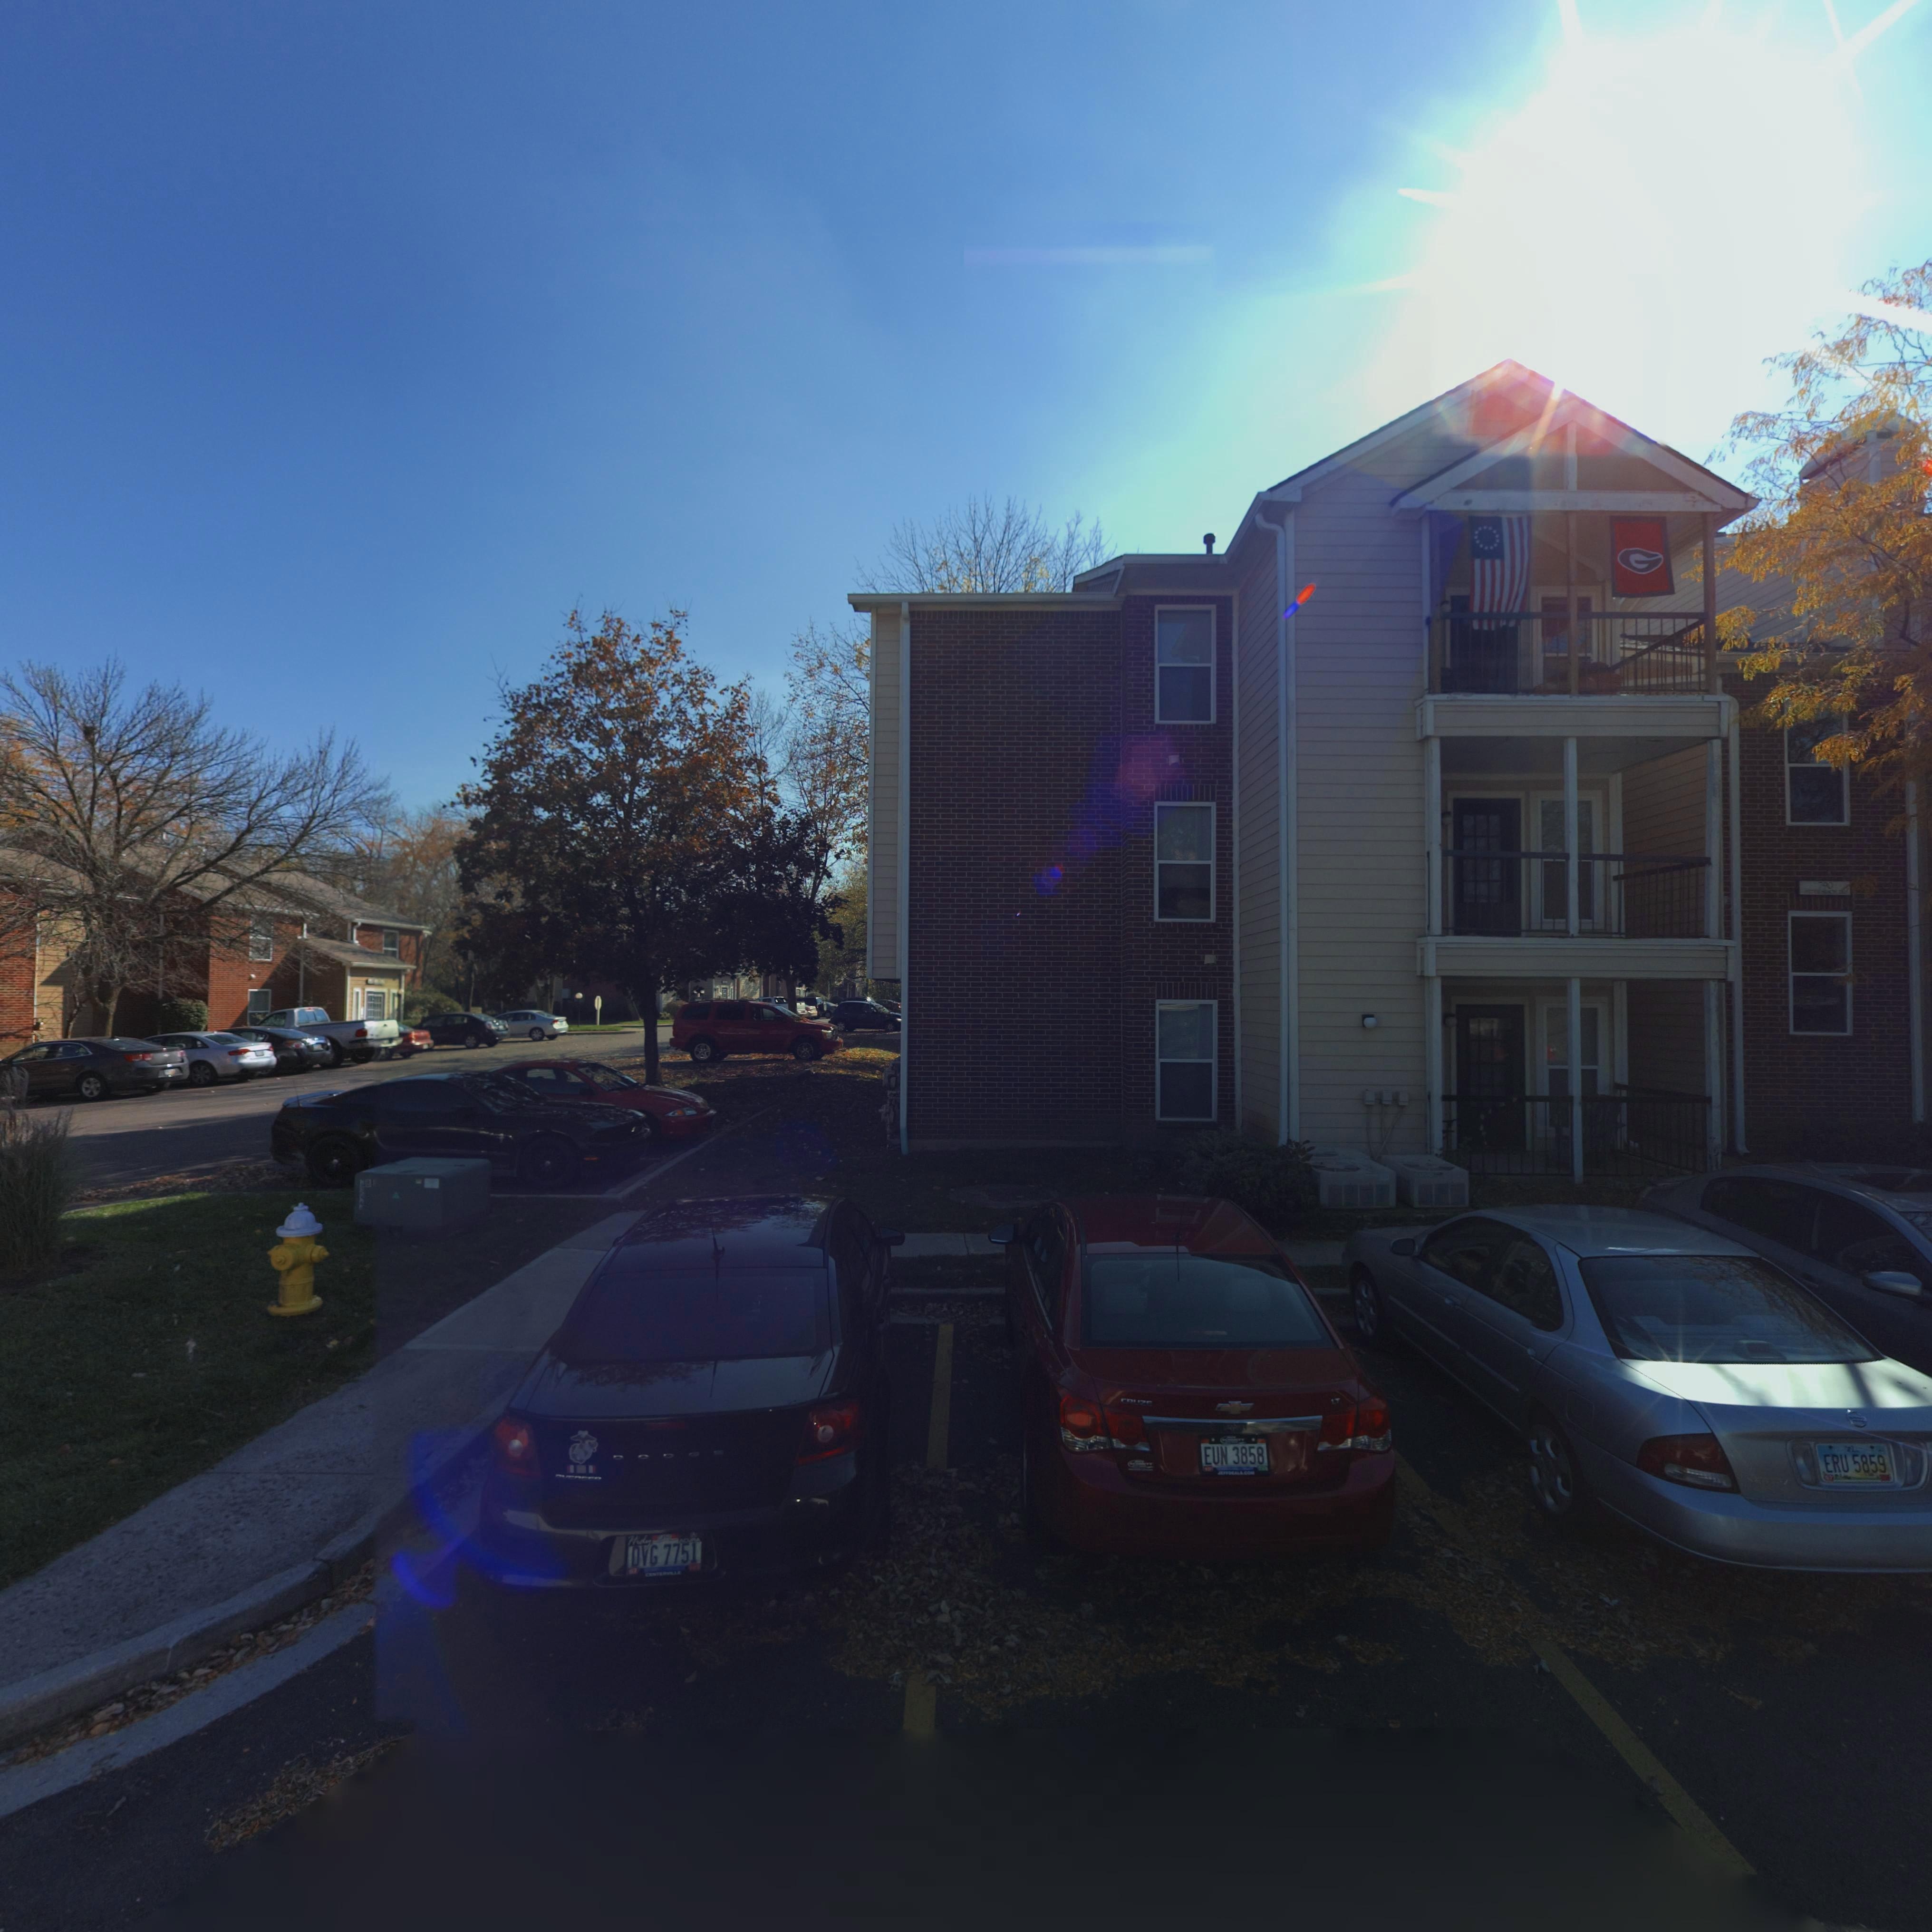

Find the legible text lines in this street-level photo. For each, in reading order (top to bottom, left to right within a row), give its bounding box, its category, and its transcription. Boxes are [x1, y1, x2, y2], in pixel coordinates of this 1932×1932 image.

[1202, 1444, 1268, 1468] None: EUN 3858
[1821, 1452, 1890, 1476] None: ERU 5859
[629, 1539, 701, 1570] None: DVG 7751